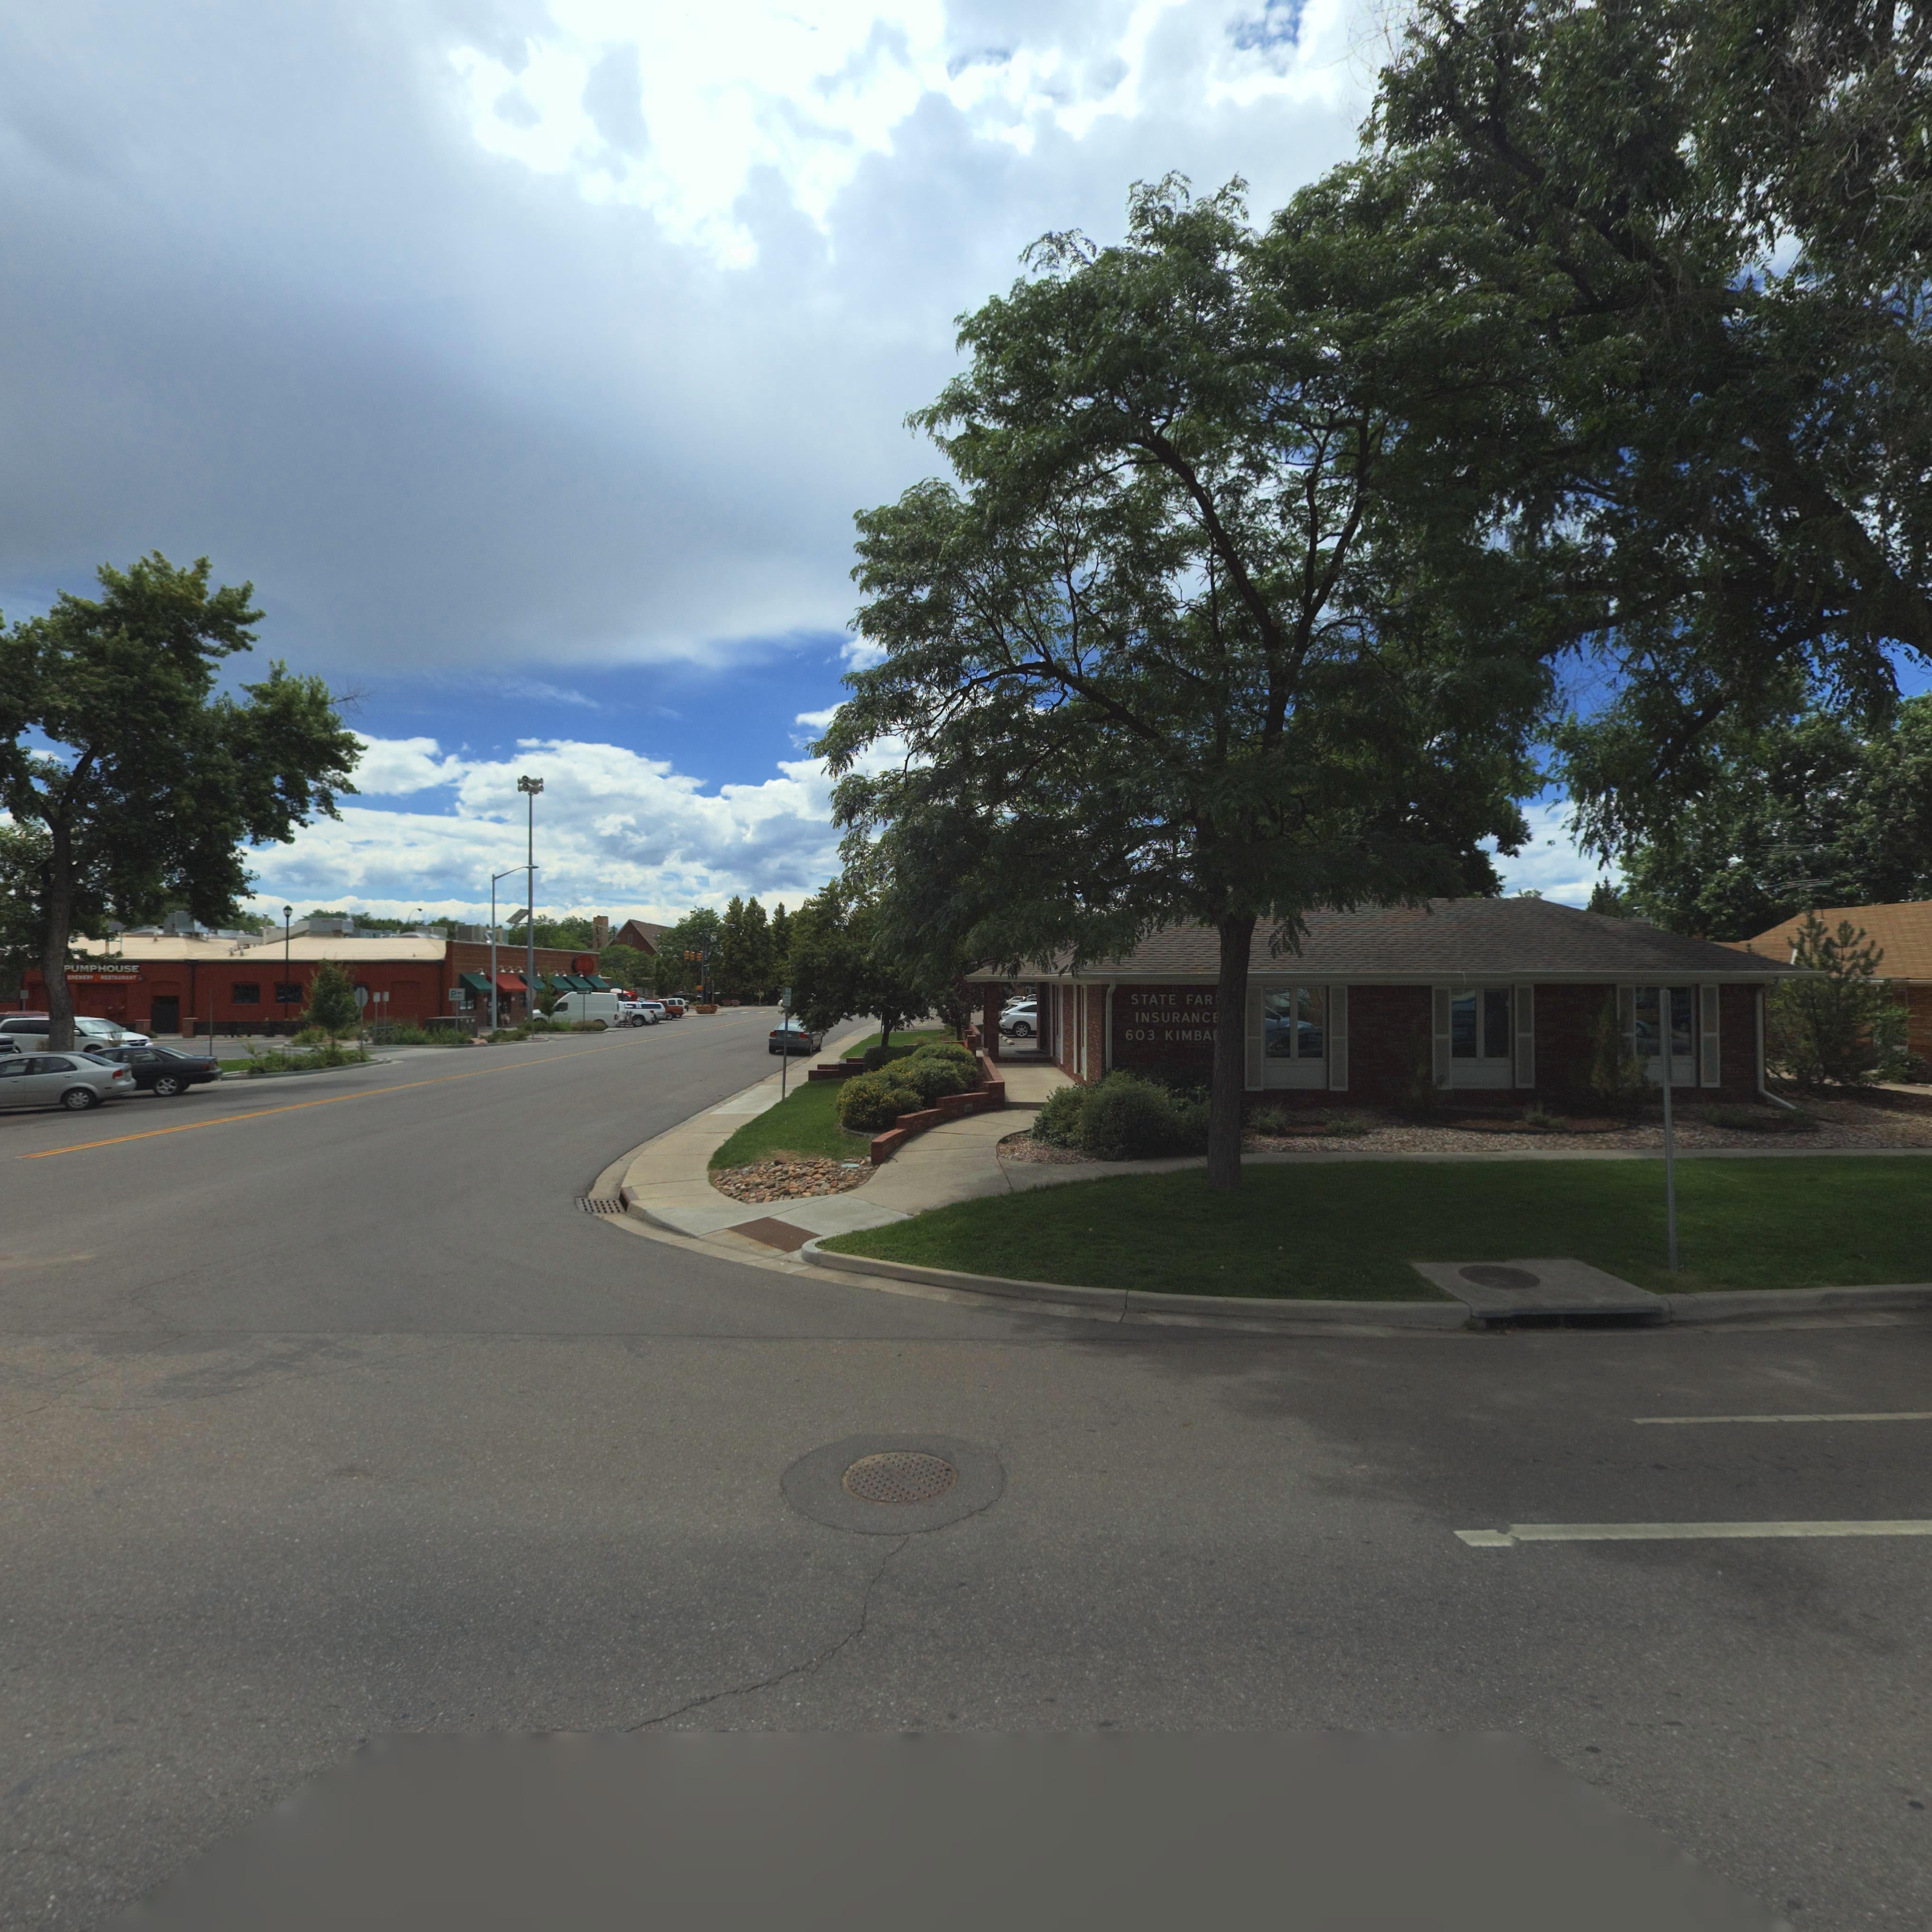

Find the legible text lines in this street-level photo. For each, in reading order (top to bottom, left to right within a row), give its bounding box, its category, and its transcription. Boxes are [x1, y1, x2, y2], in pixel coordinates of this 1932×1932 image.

[63, 964, 140, 973] BusinessName: PUMPHOUSE
[67, 974, 137, 980] BusinessName: BREWERY&RESTAURANT
[1130, 993, 1213, 1005] BusinessName: STATE FAR
[1135, 1011, 1210, 1023] BusinessName: INSURANC
[1125, 1029, 1155, 1041] StreetNumber: 603
[1165, 1029, 1212, 1041] StreetName: KIMBA